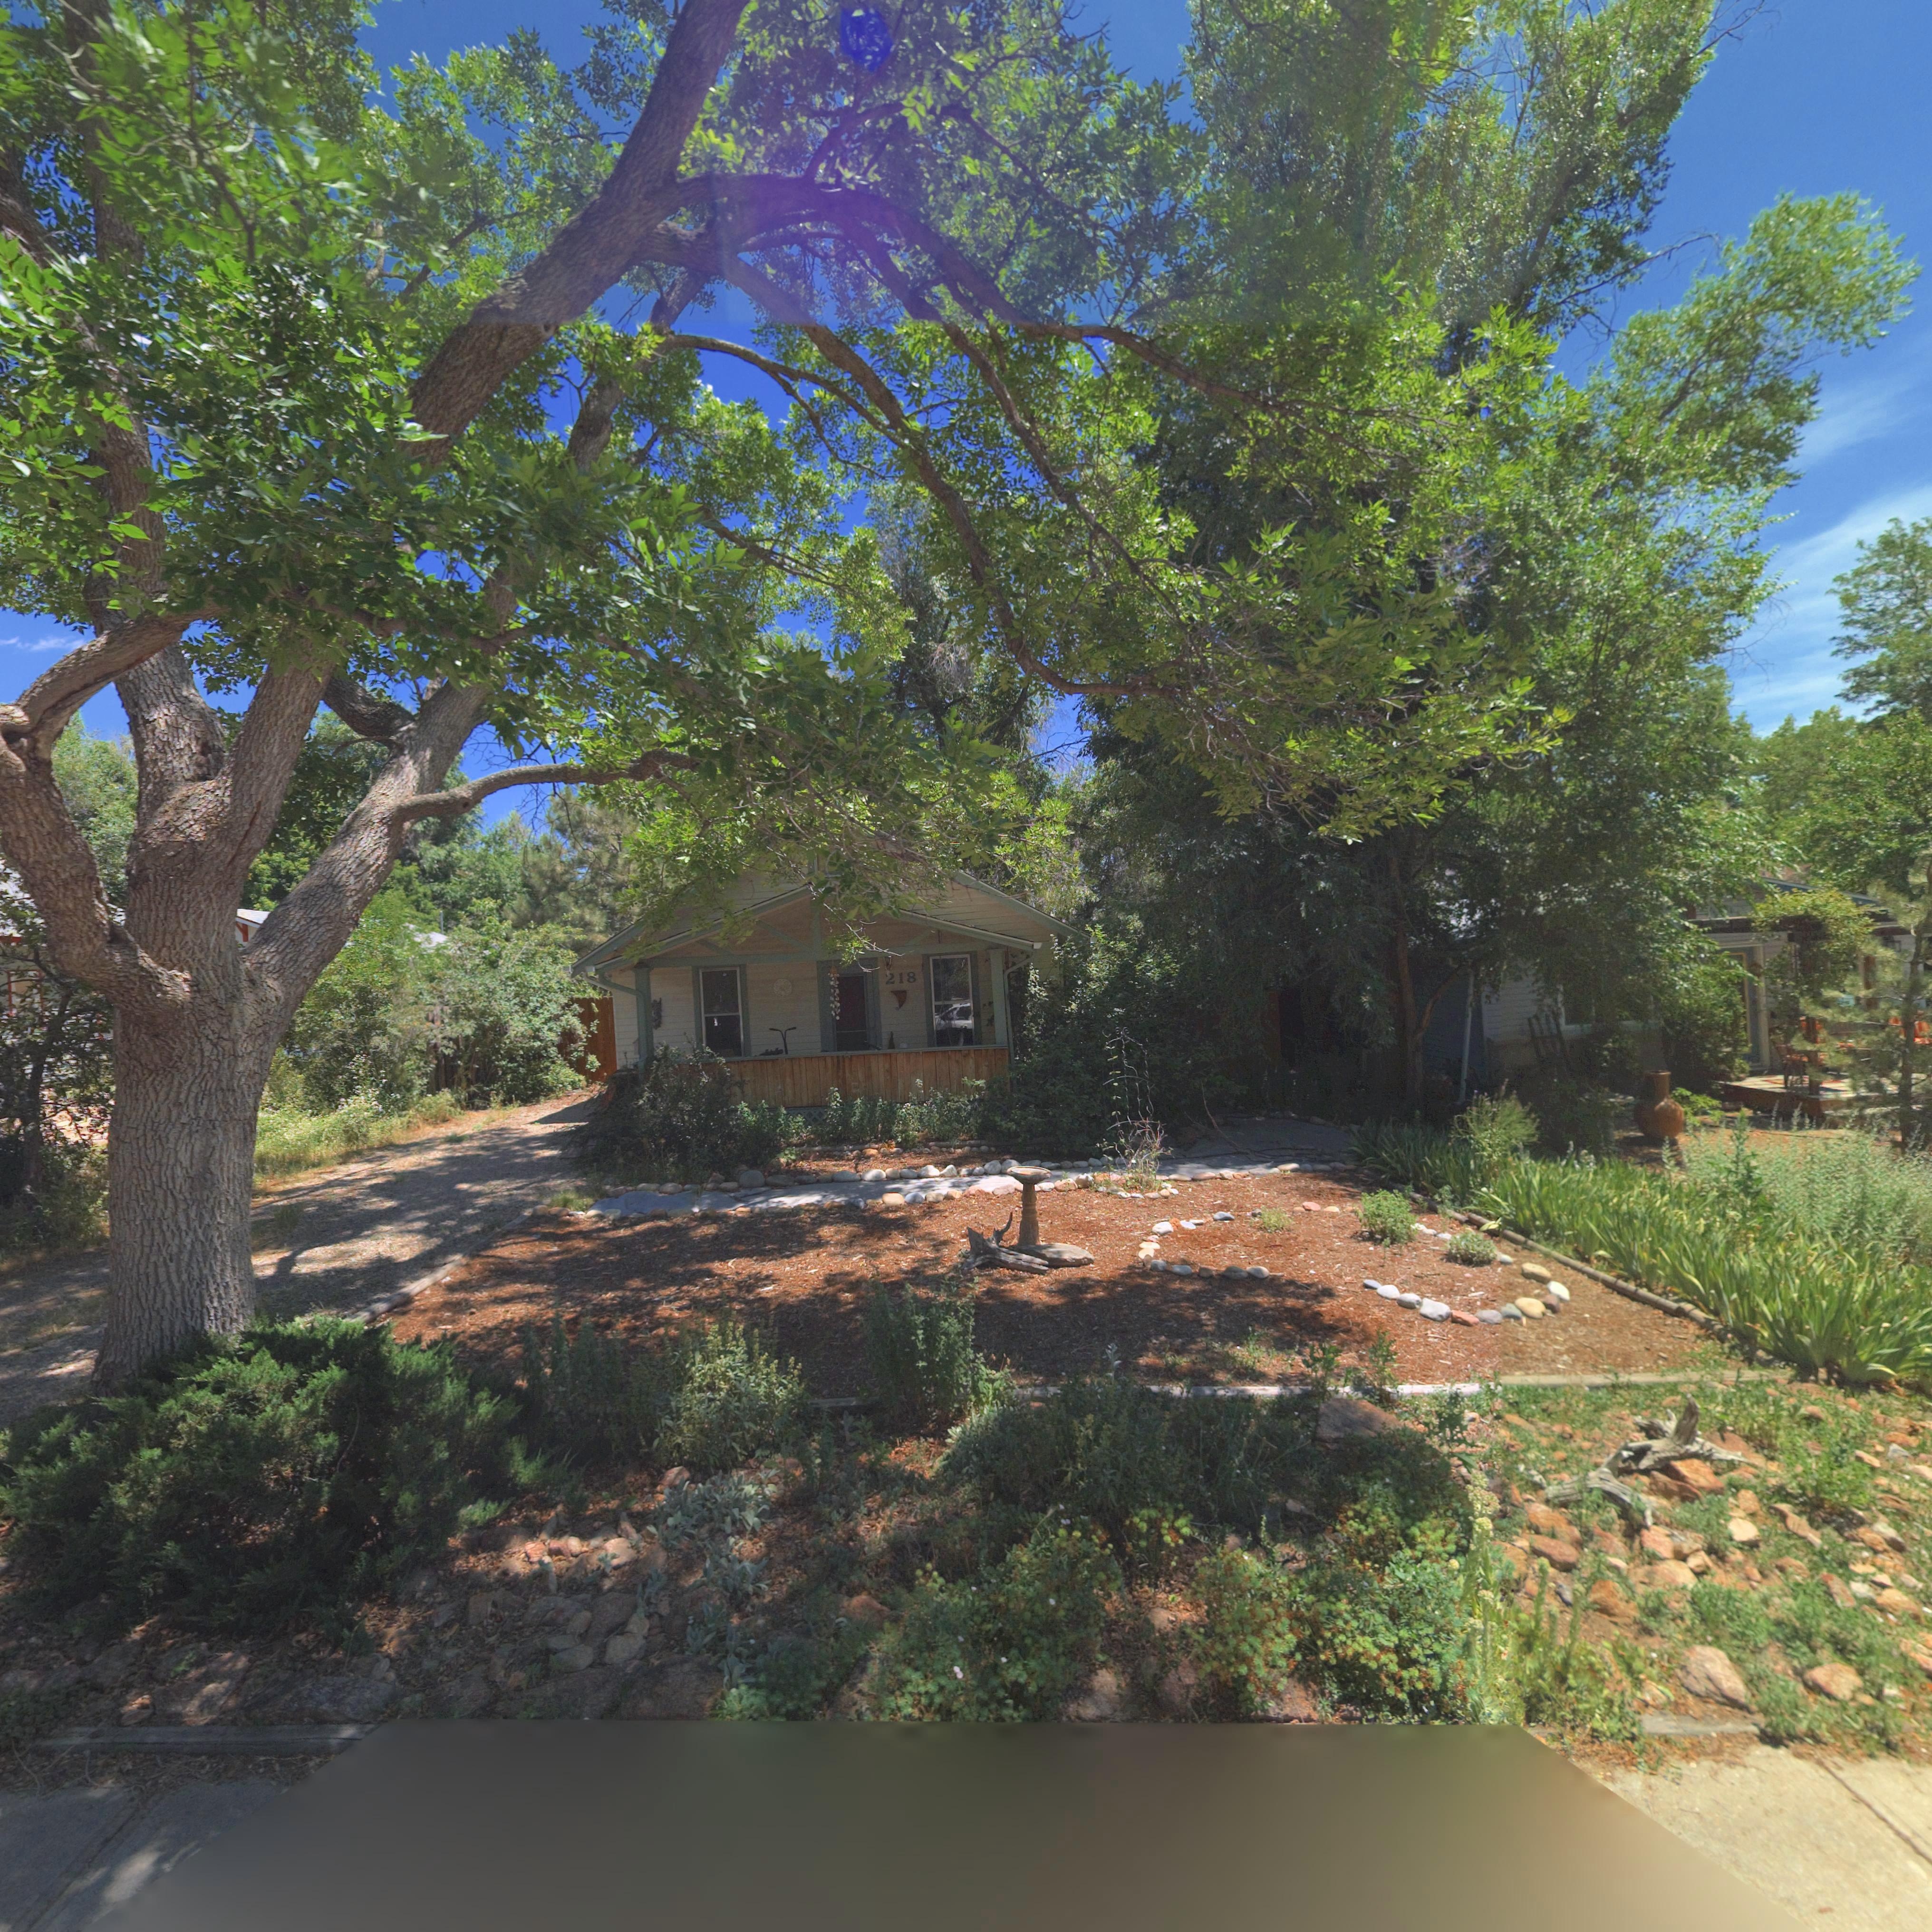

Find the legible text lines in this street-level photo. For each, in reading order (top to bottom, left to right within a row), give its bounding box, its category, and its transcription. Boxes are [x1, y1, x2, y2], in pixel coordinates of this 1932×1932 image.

[886, 972, 917, 985] StreetNumber: 218